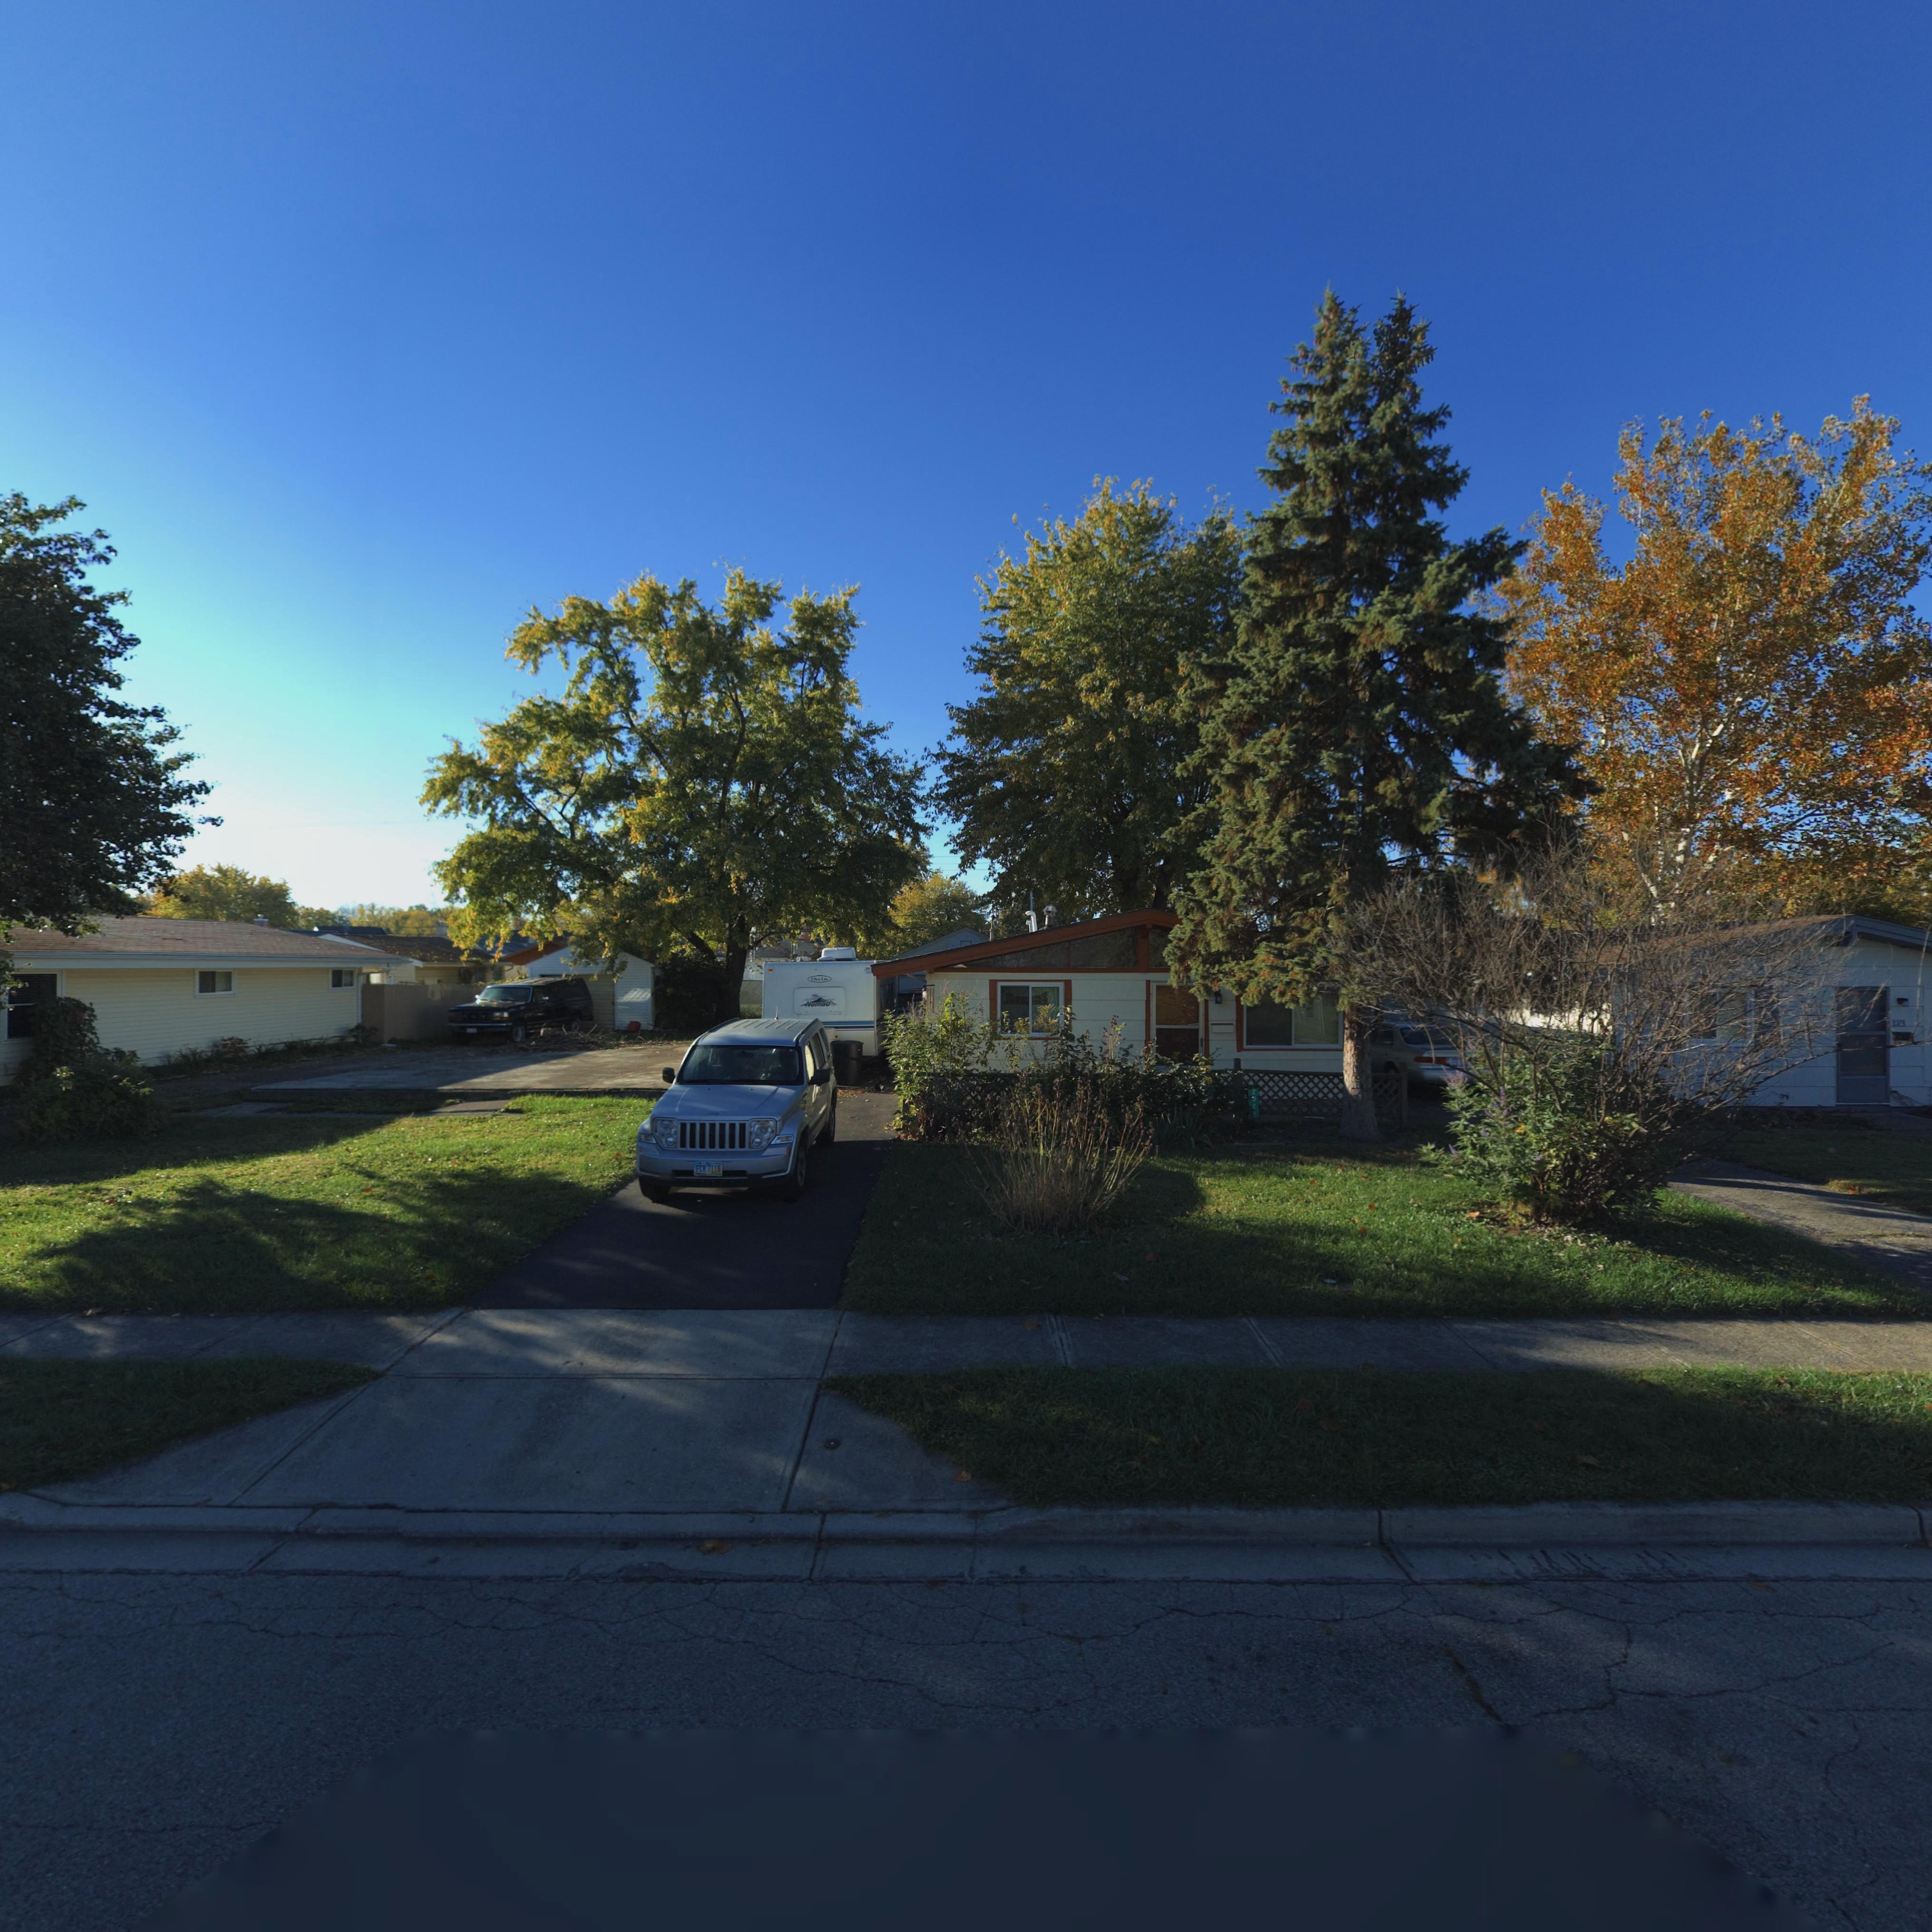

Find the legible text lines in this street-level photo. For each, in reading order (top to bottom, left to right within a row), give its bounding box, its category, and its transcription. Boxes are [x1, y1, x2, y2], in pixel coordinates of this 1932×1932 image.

[1250, 1088, 1257, 1118] StreetNumber: 2***